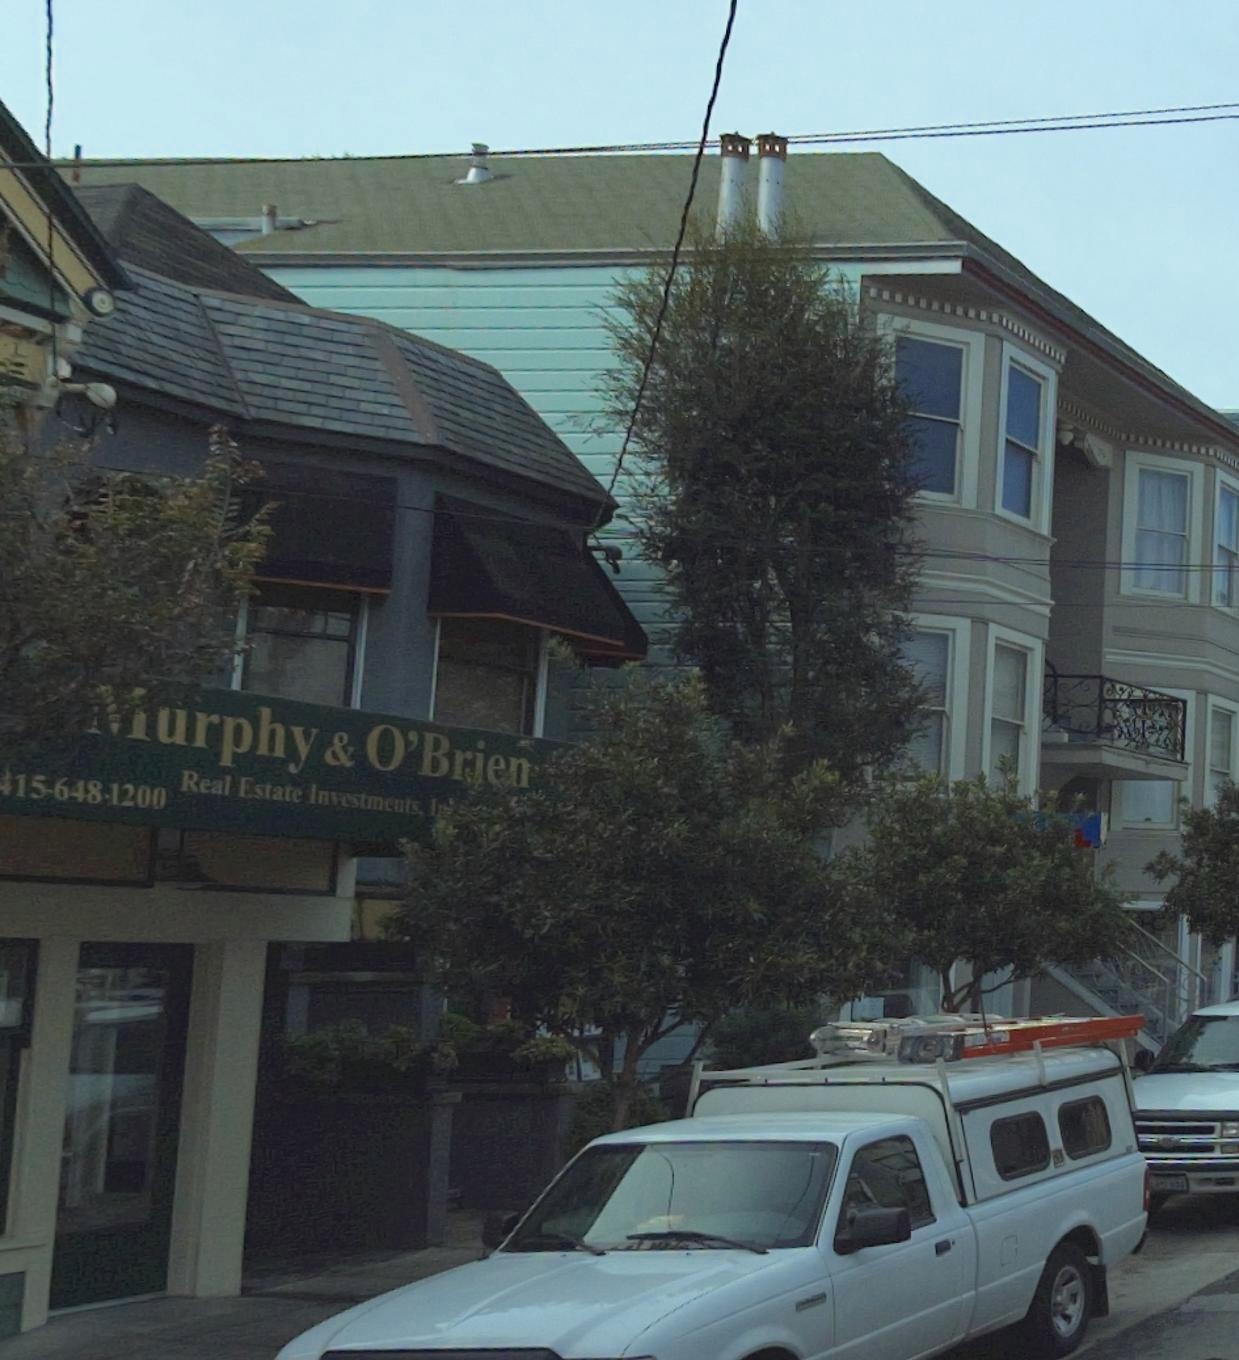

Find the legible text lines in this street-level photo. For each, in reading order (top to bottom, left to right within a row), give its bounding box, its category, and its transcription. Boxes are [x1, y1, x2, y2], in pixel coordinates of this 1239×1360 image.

[85, 675, 536, 792] BusinessName: Murphy & O'Brien
[0, 766, 171, 816] None: *15-648-1200
[177, 767, 455, 820] BusinessName: Real Estate Investments, I*